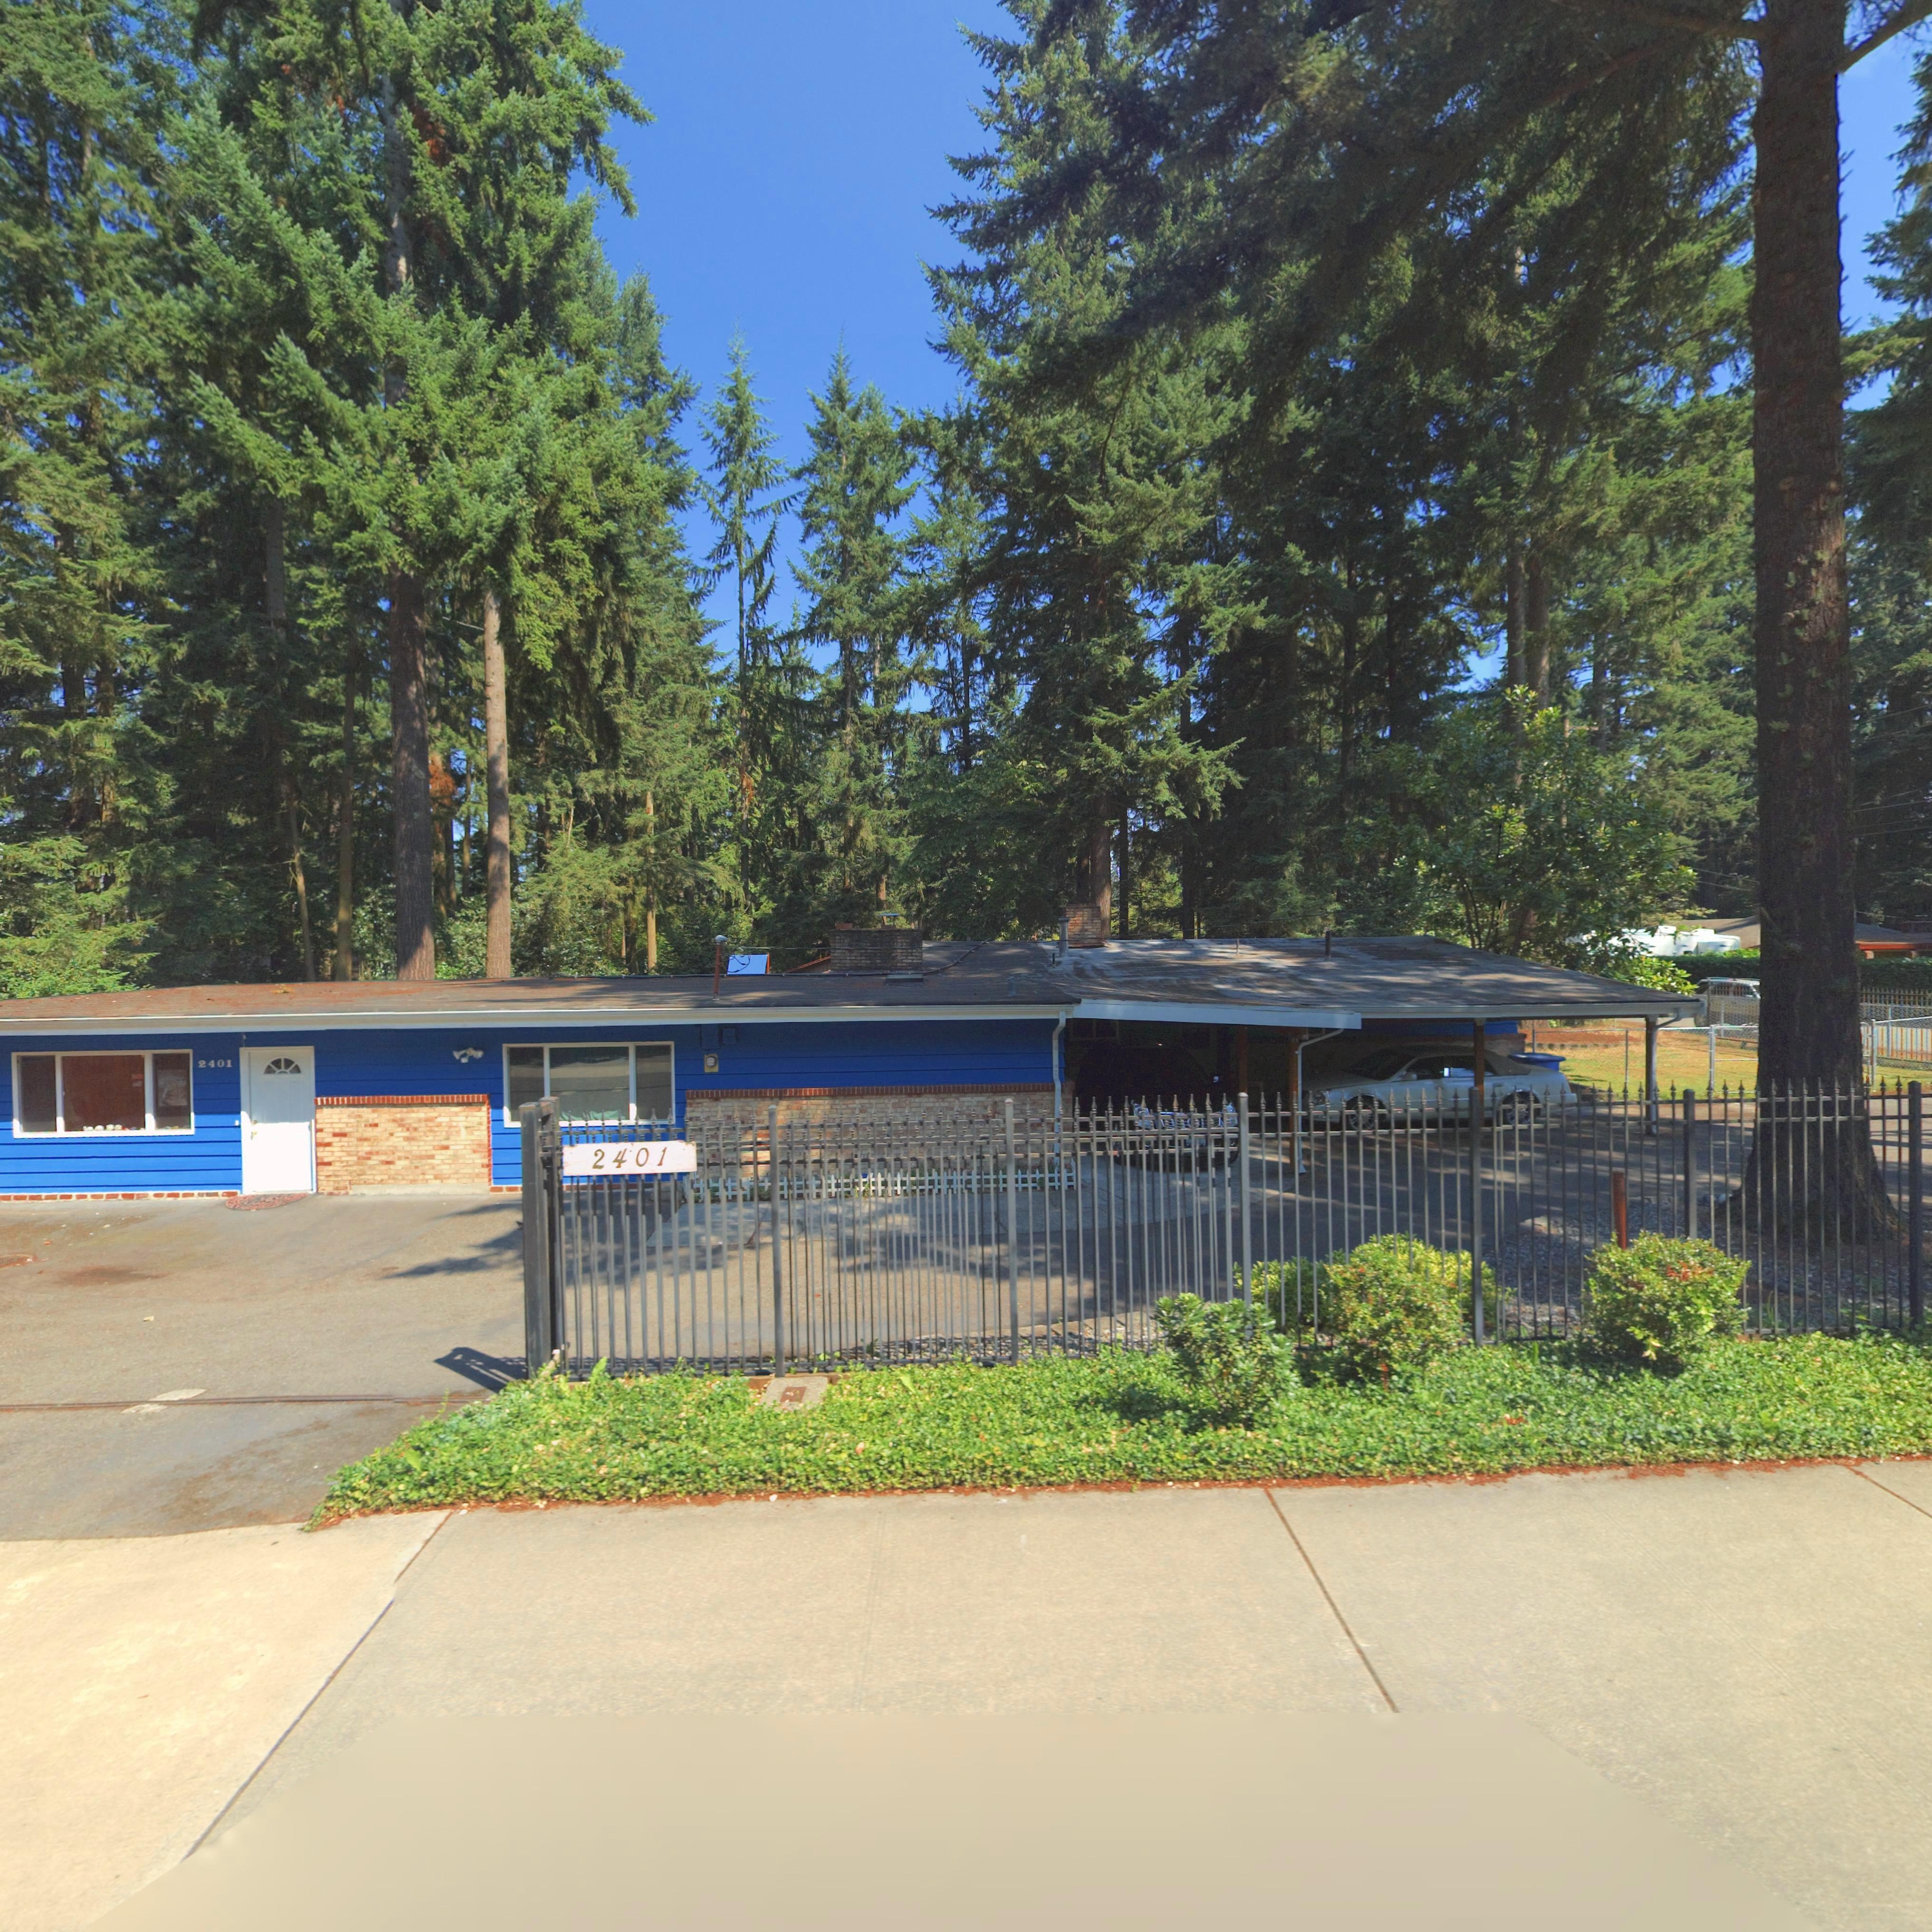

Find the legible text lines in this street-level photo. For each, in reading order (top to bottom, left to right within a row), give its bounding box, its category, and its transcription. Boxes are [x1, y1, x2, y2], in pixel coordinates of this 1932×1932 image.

[197, 1058, 234, 1068] StreetNumber: 2401
[590, 1145, 669, 1171] StreetNumber: 2401*